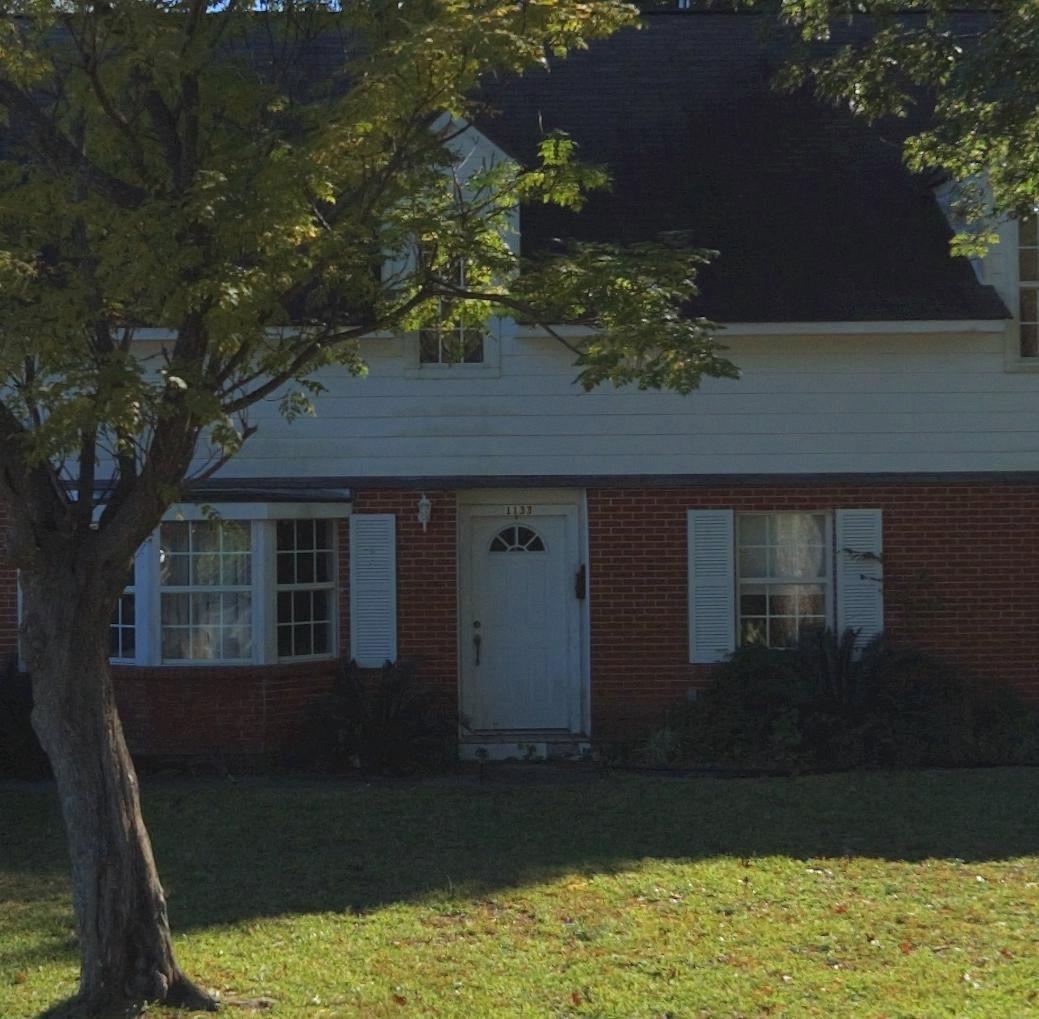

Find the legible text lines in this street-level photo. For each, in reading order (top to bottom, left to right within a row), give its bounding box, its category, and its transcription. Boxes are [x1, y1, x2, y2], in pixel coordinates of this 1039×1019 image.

[505, 504, 534, 517] StreetNumber: 1133